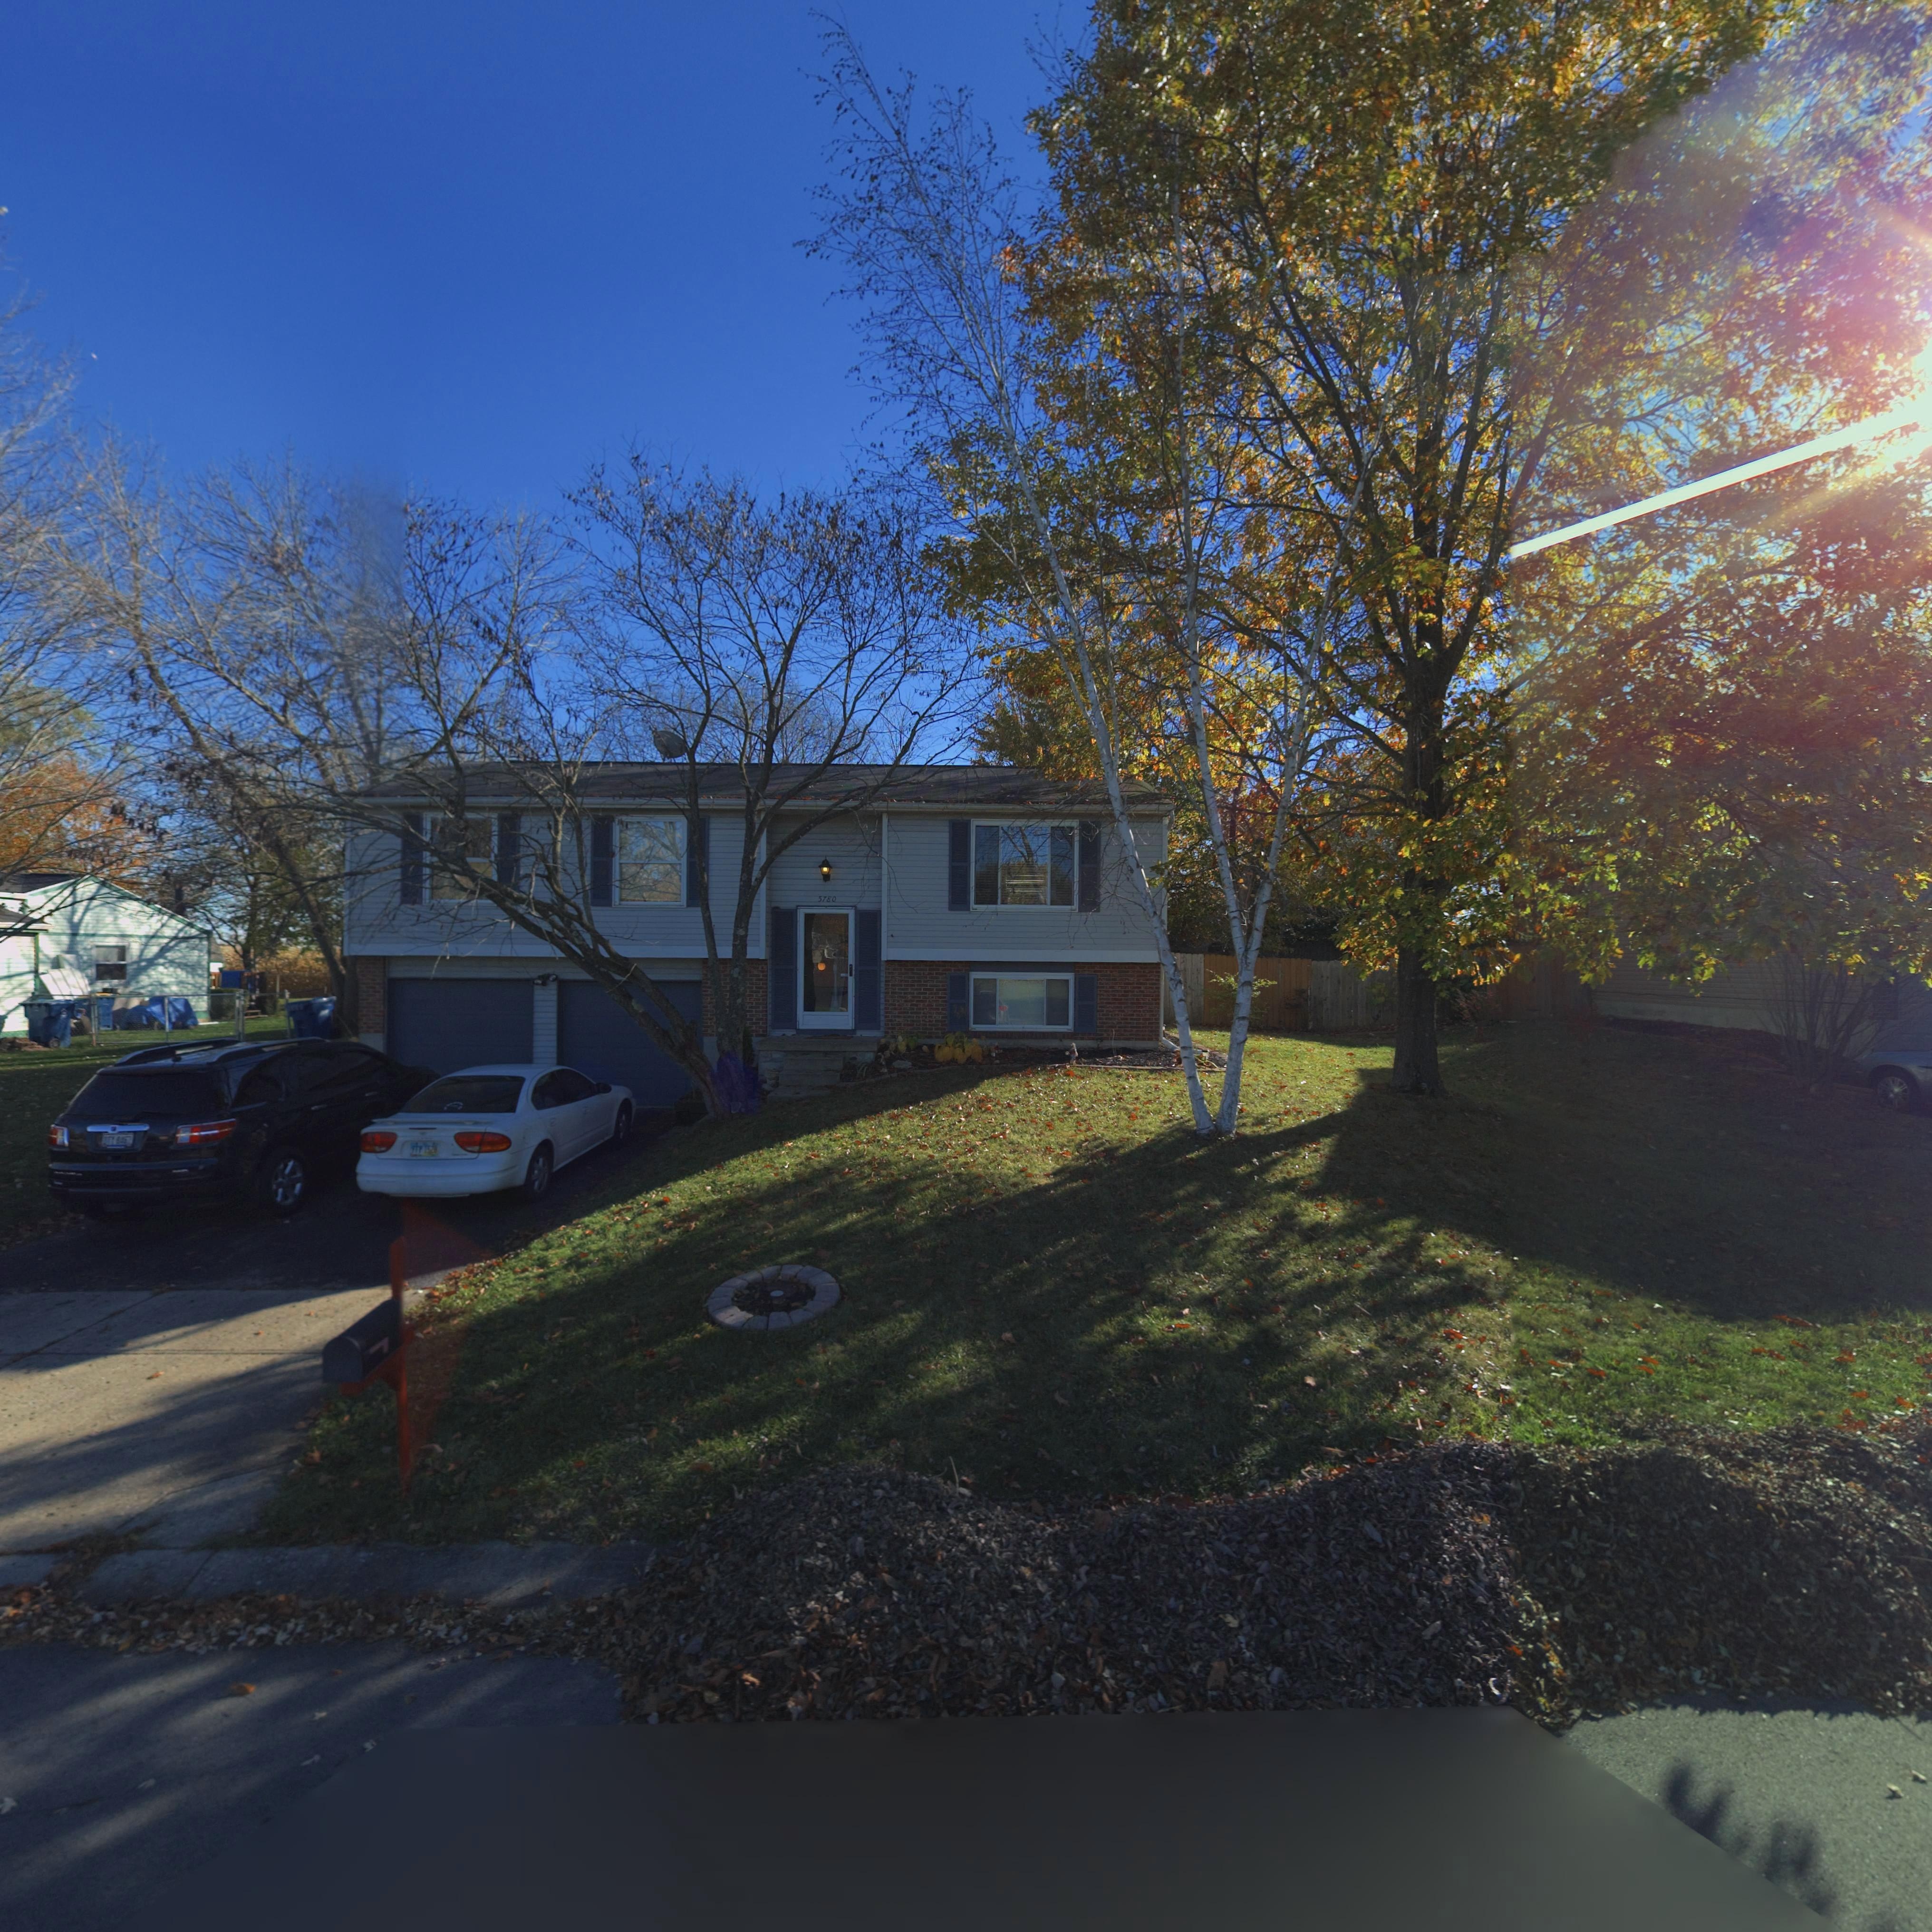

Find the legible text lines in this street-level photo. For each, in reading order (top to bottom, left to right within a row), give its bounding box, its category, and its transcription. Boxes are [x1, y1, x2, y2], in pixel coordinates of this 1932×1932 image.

[817, 895, 838, 903] StreetNumber: 5780